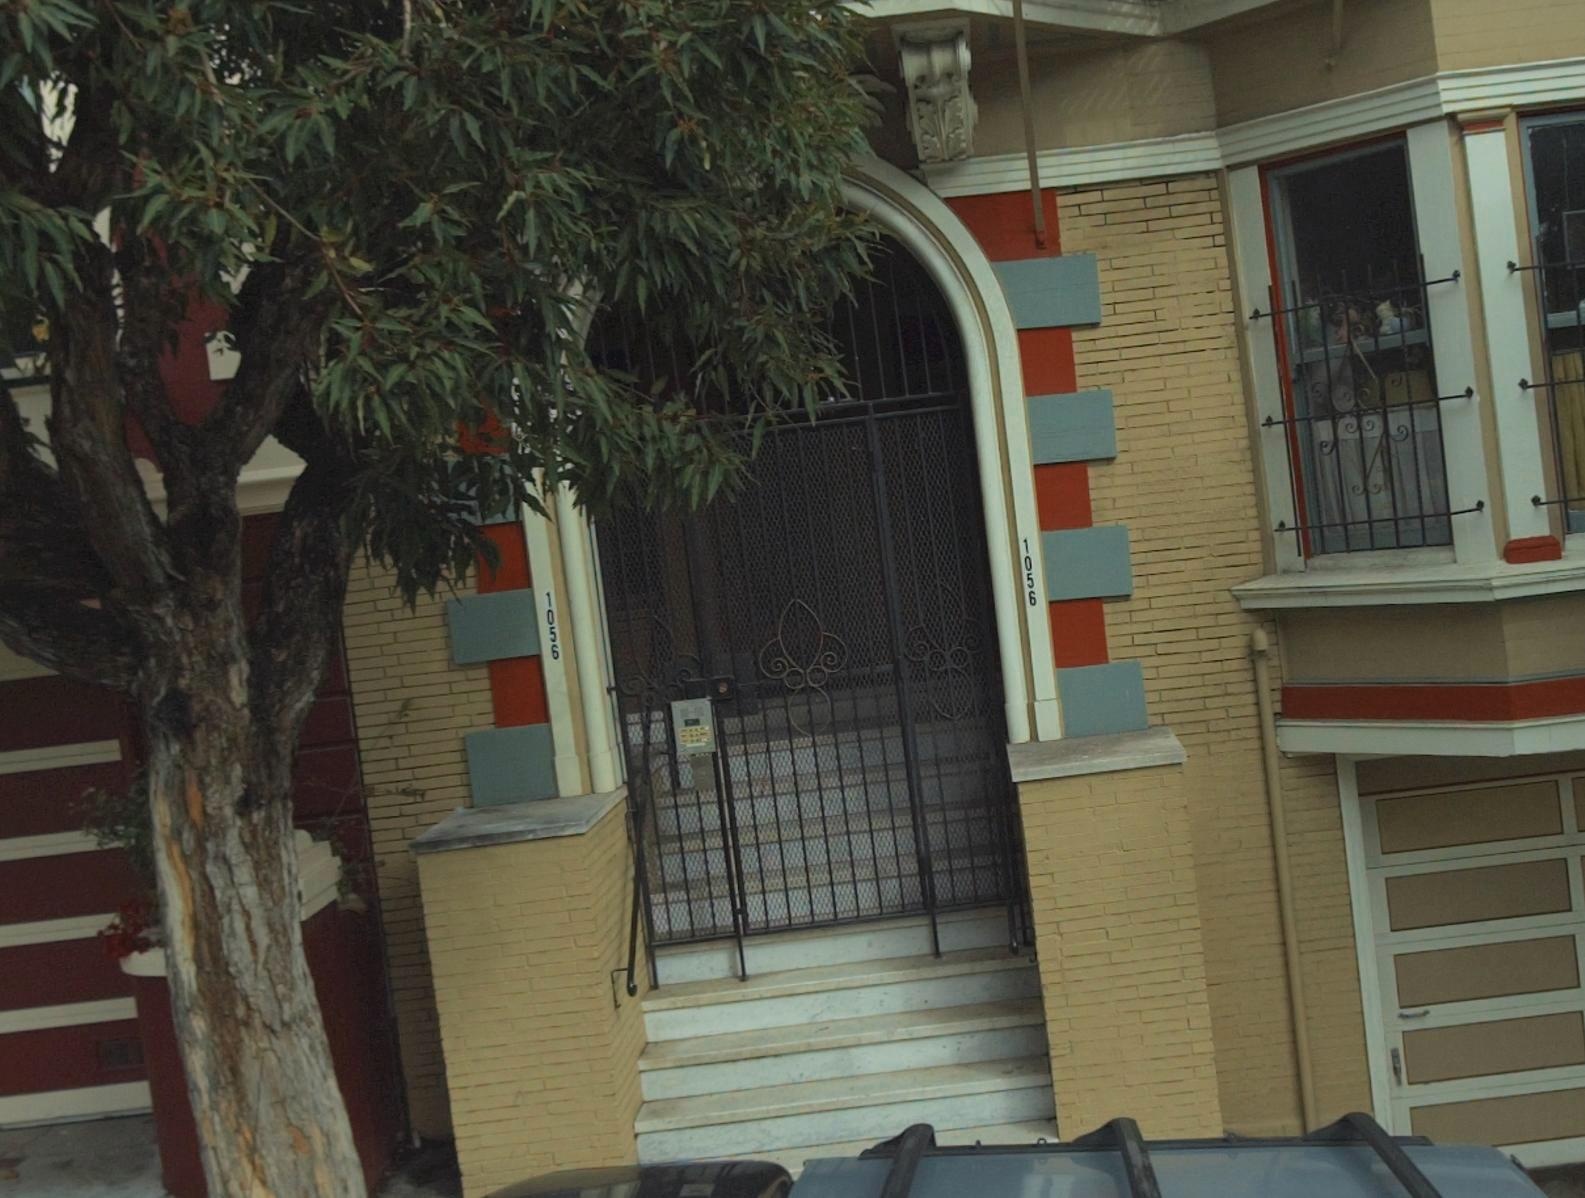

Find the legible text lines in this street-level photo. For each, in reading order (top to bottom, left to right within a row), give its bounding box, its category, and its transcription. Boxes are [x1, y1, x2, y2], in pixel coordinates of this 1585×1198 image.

[1019, 536, 1040, 608] StreetNumber: 1056
[542, 588, 562, 662] StreetNumber: 1056